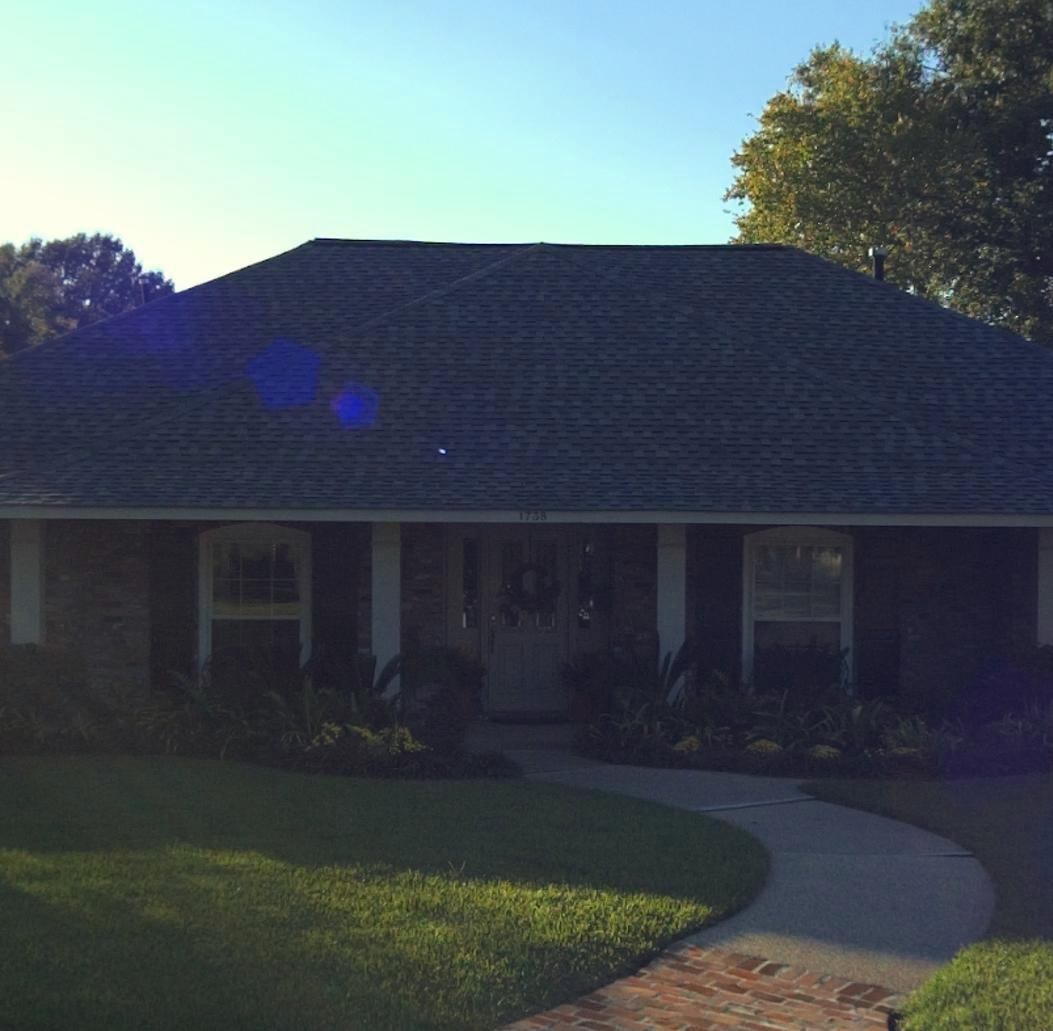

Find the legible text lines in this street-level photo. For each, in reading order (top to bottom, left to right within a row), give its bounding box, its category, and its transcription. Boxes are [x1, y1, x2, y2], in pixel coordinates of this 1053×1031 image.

[518, 511, 548, 521] StreetNumber: 1738